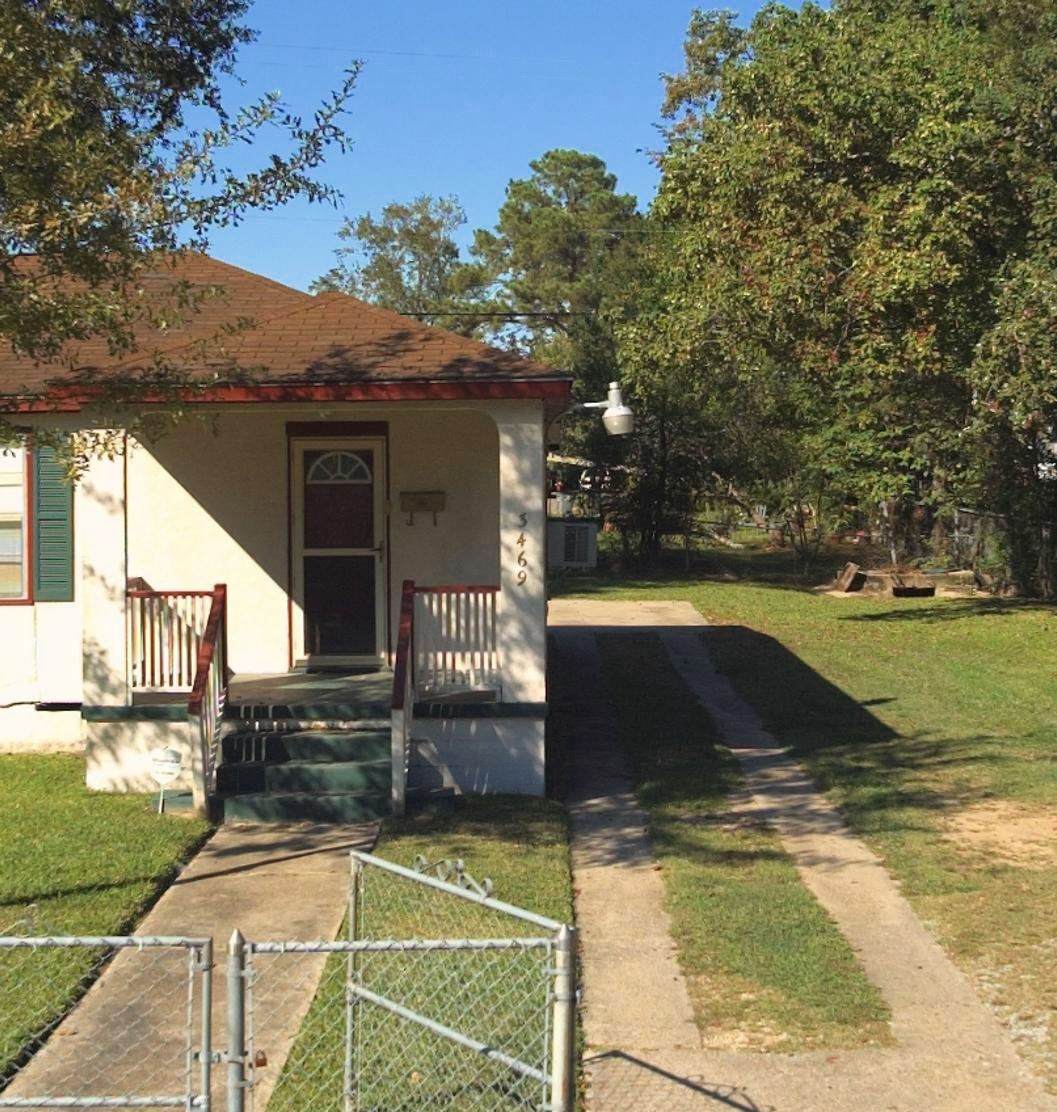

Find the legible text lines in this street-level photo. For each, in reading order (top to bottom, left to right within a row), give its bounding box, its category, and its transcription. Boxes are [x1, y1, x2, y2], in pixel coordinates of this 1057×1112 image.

[515, 511, 529, 588] StreetNumber: 3469